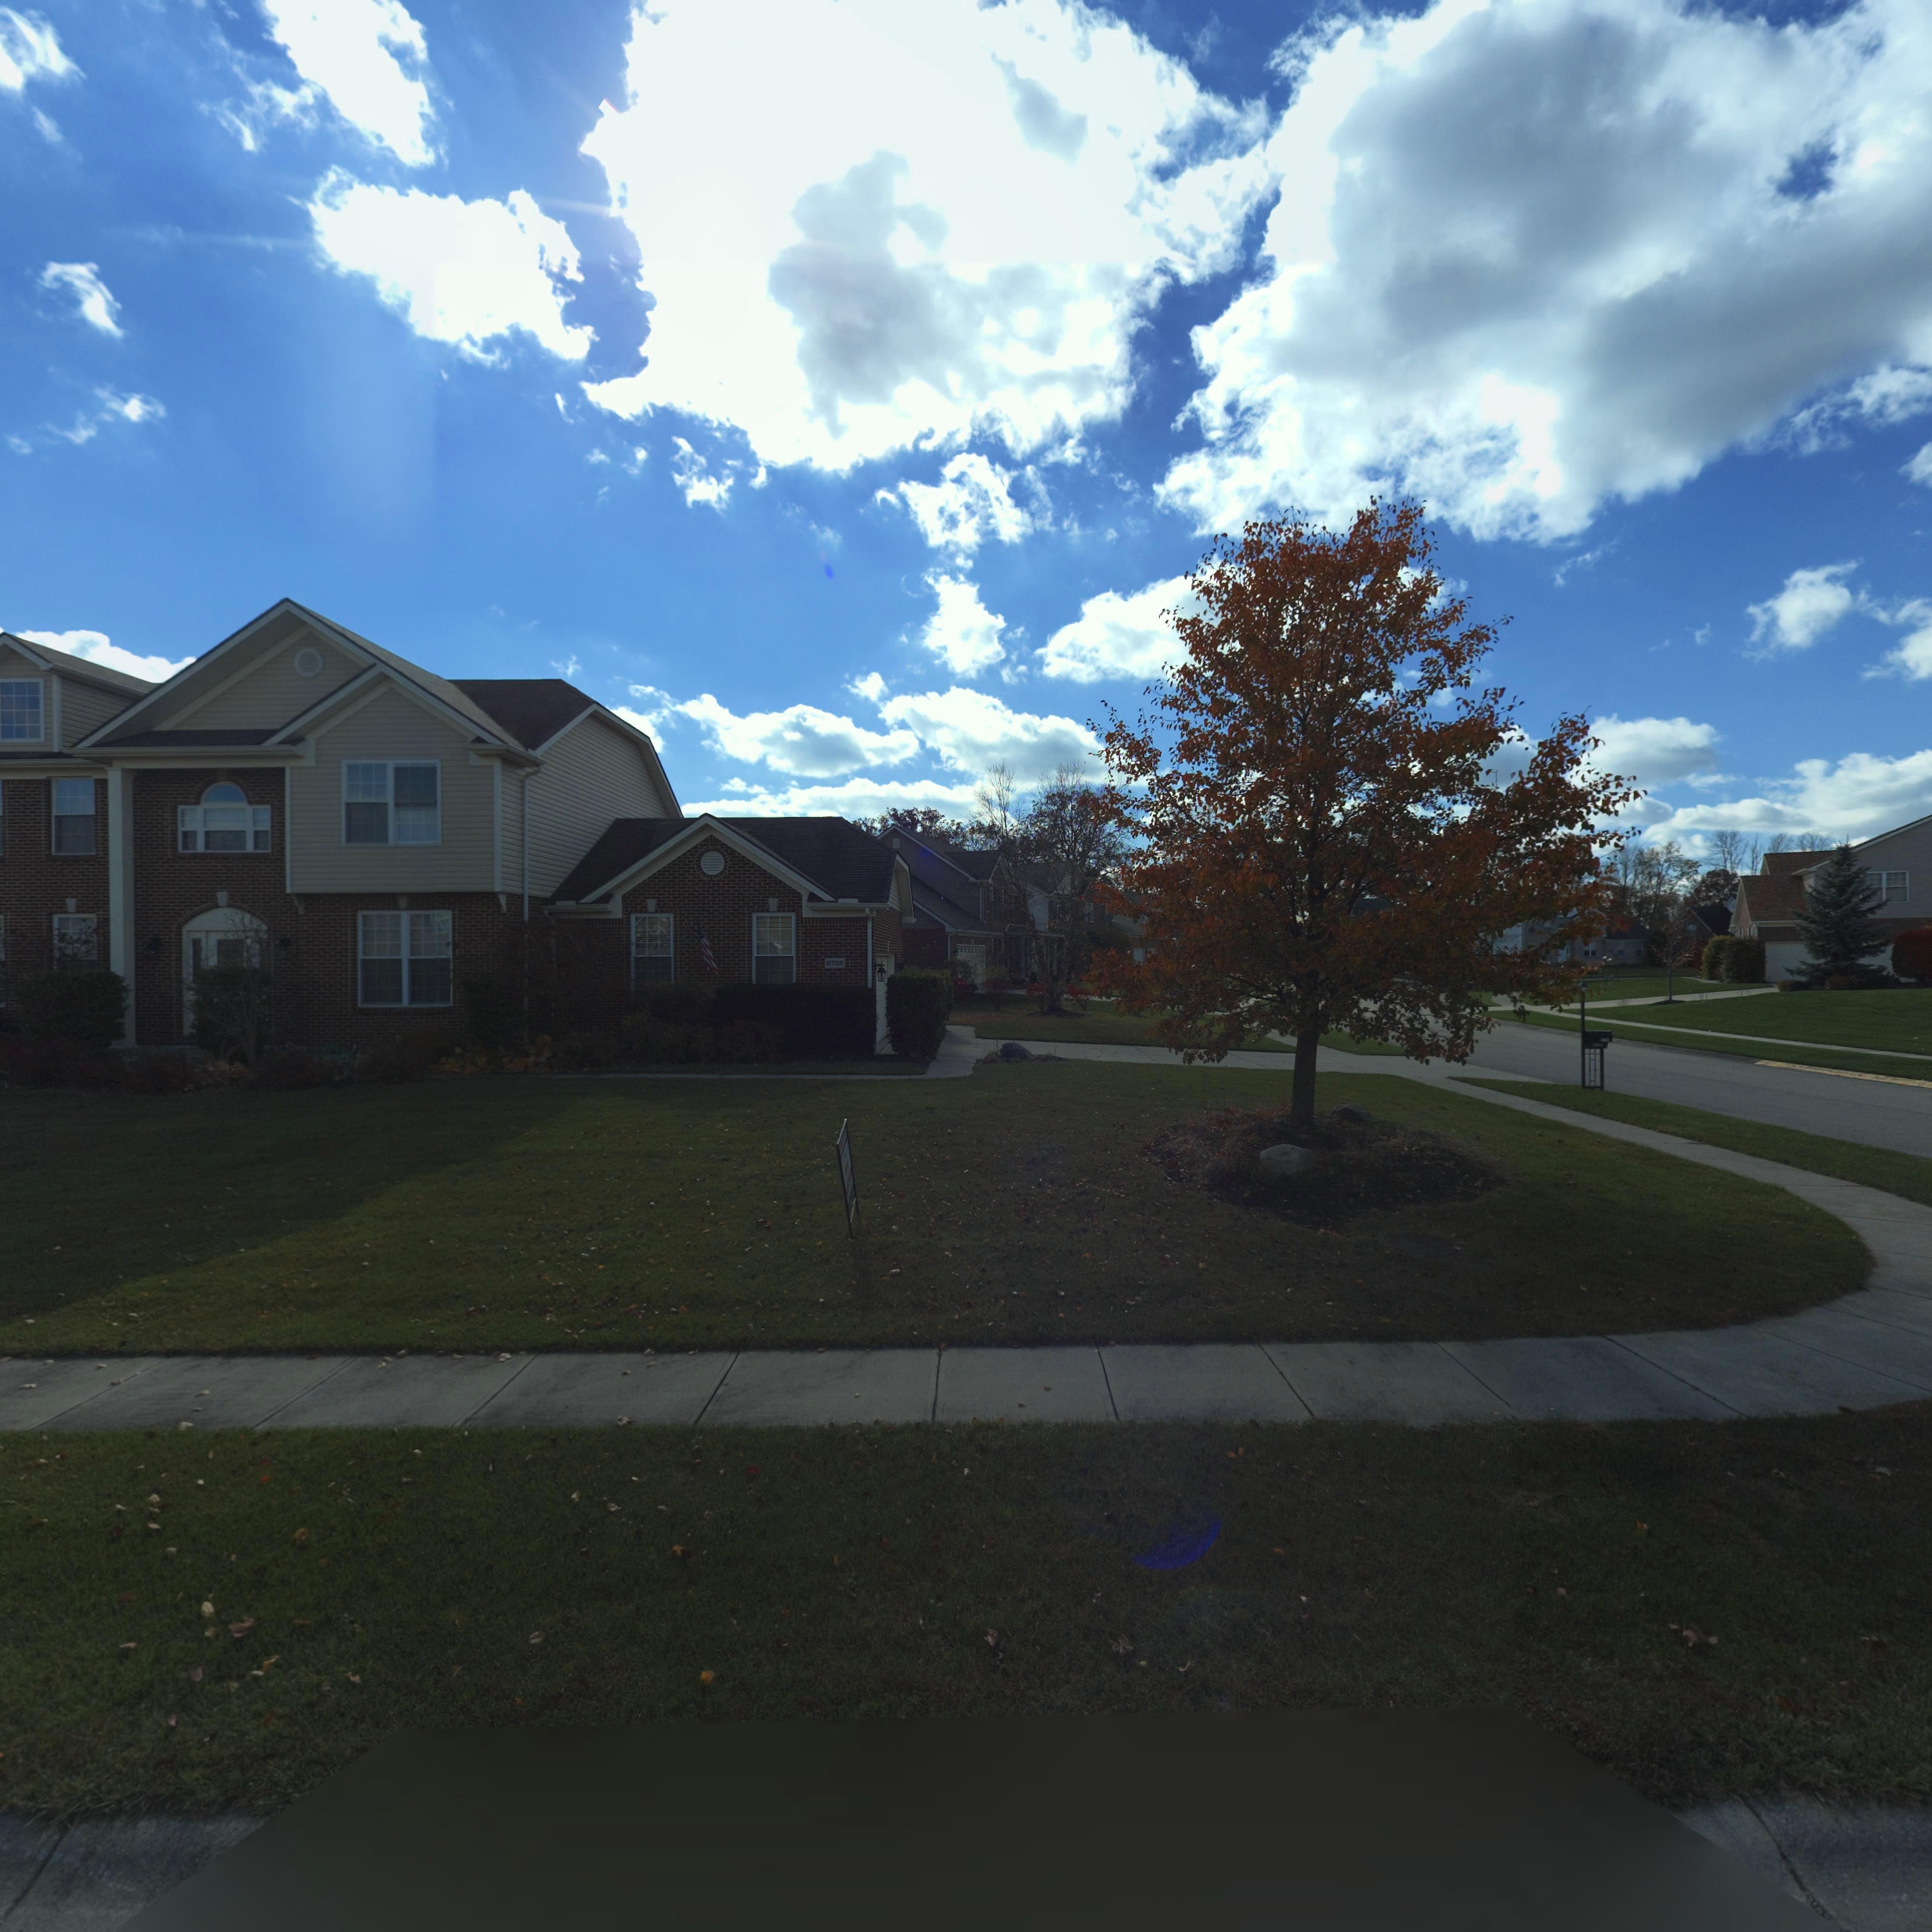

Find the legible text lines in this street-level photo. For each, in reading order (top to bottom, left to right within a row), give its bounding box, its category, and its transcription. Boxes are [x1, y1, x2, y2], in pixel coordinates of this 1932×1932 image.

[826, 960, 844, 966] StreetNumber: 6728